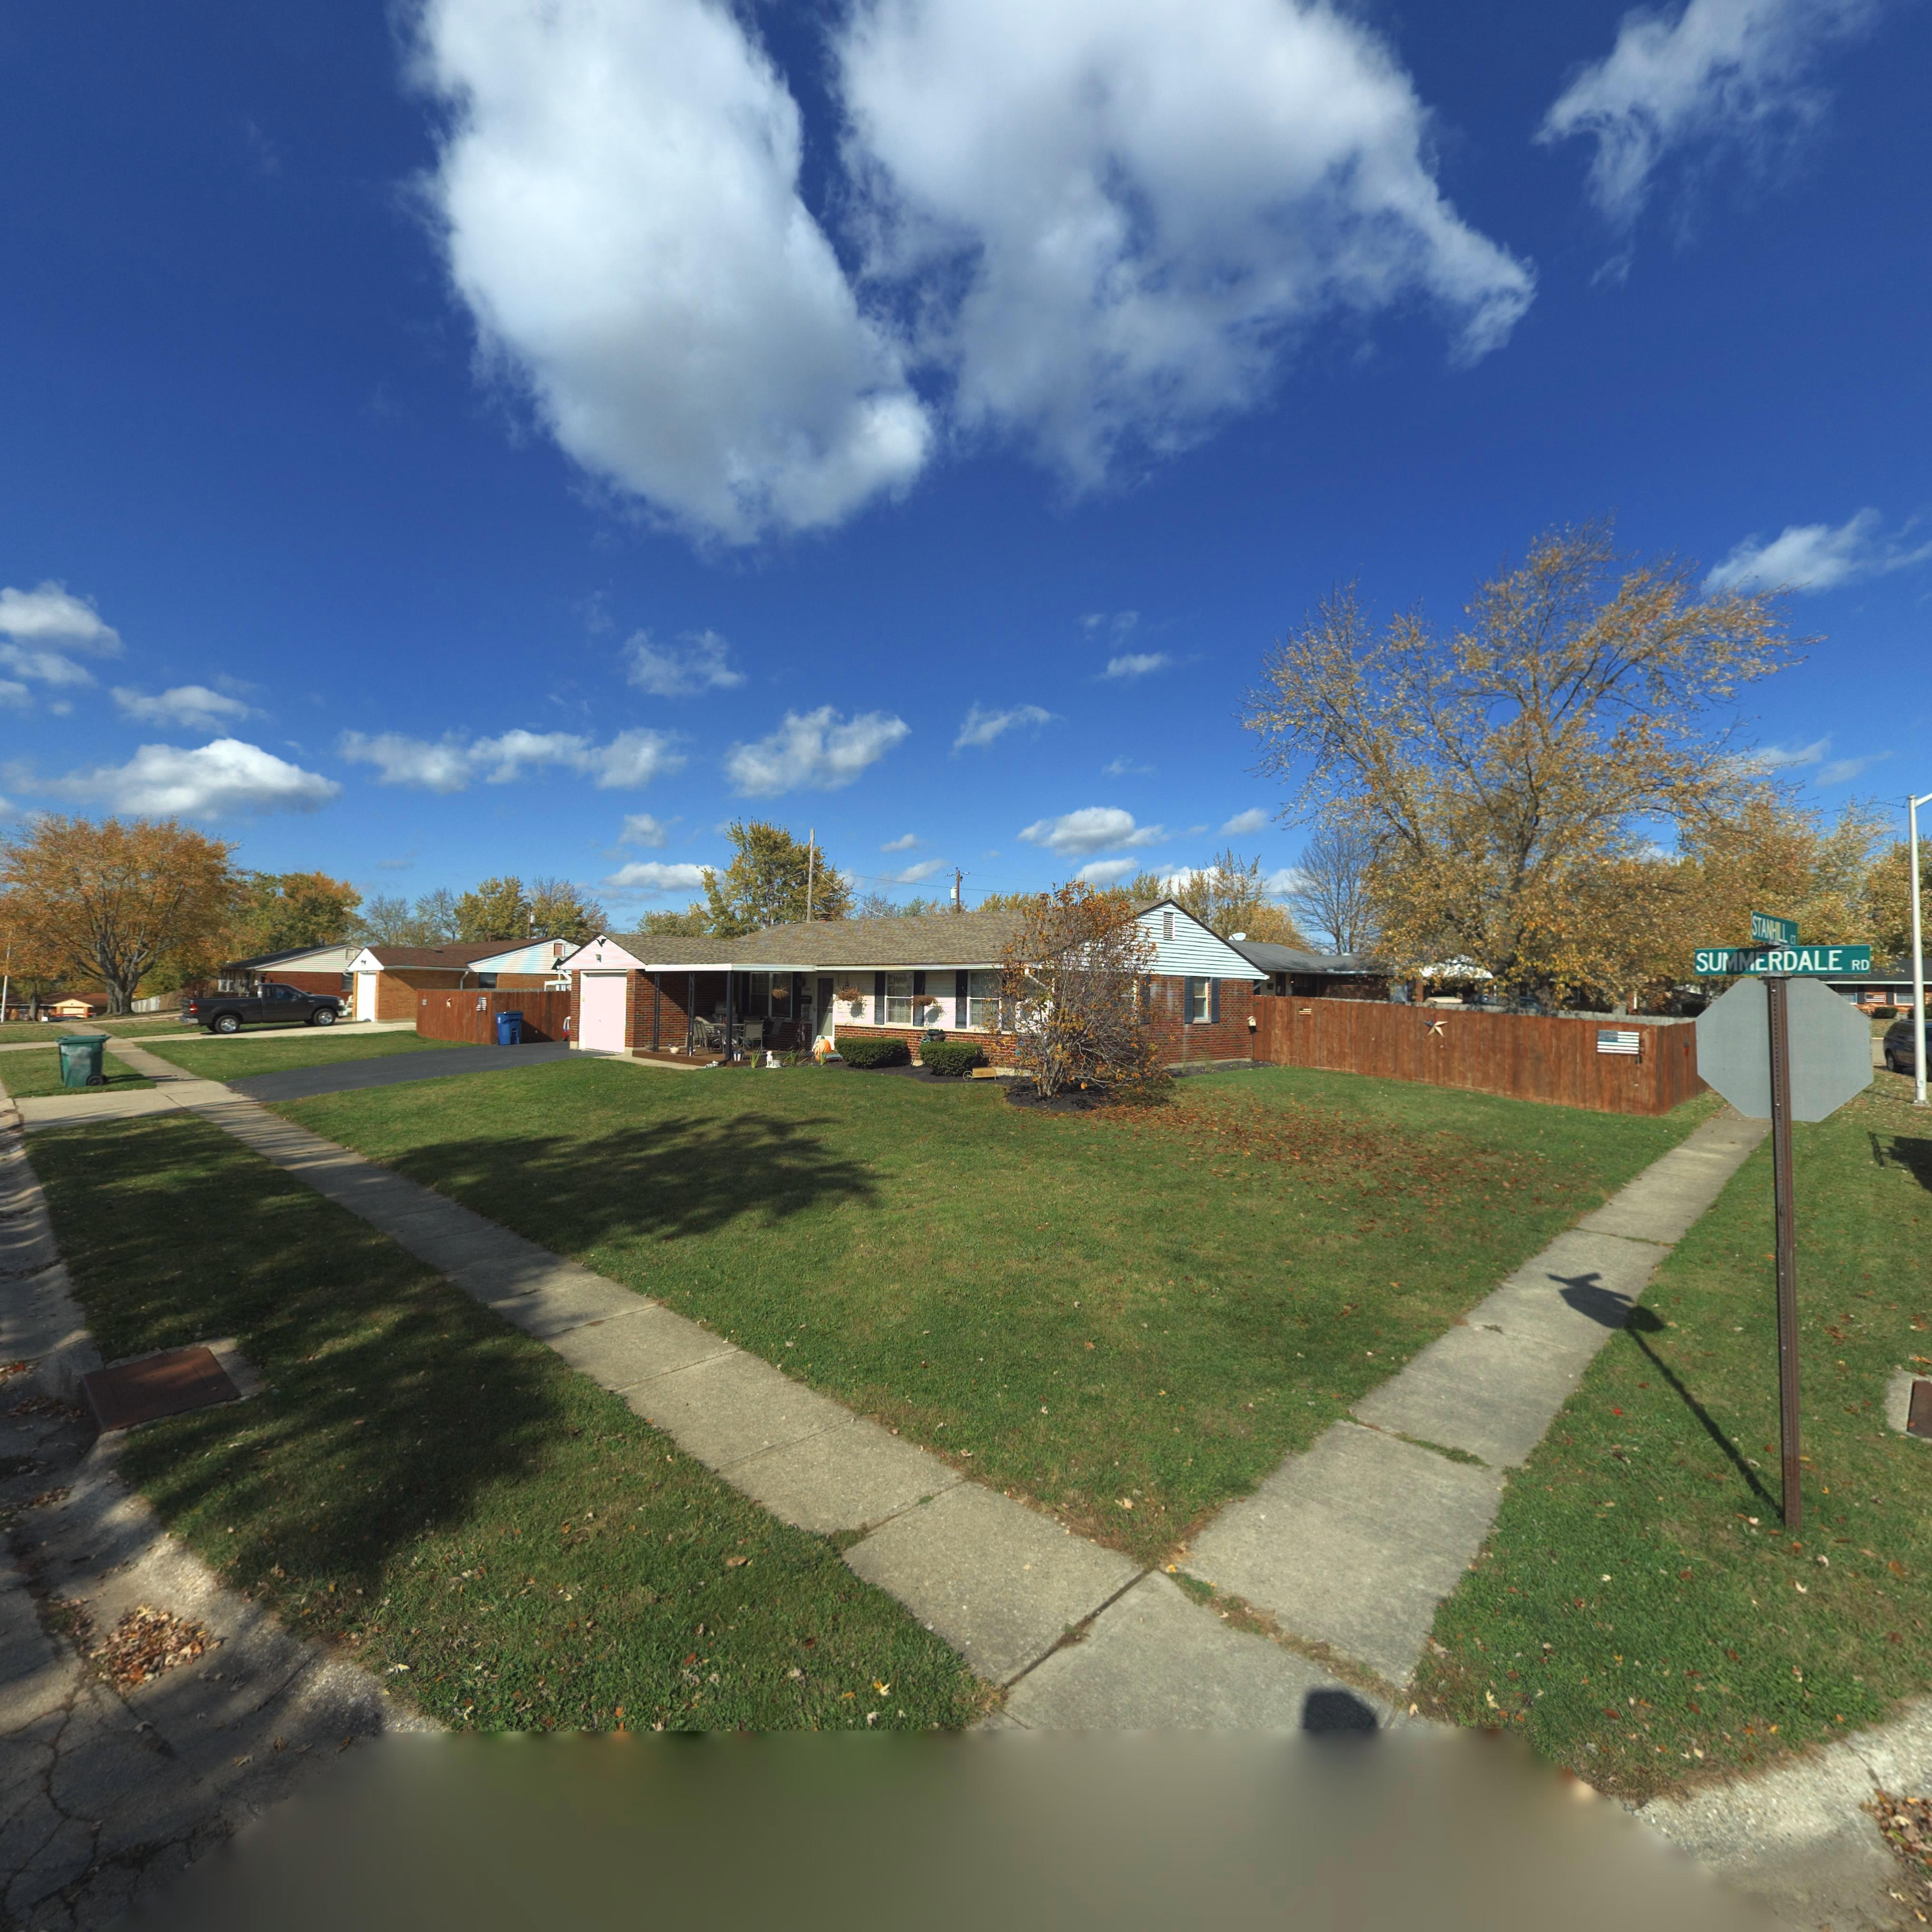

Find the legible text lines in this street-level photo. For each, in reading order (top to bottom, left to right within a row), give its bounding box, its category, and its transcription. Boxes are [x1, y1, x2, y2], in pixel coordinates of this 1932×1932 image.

[1751, 914, 1797, 947] StreetName: STANHILL CT
[1694, 948, 1871, 973] StreetName: SUMMERDALE RD
[803, 987, 811, 991] StreetNumber: 6***